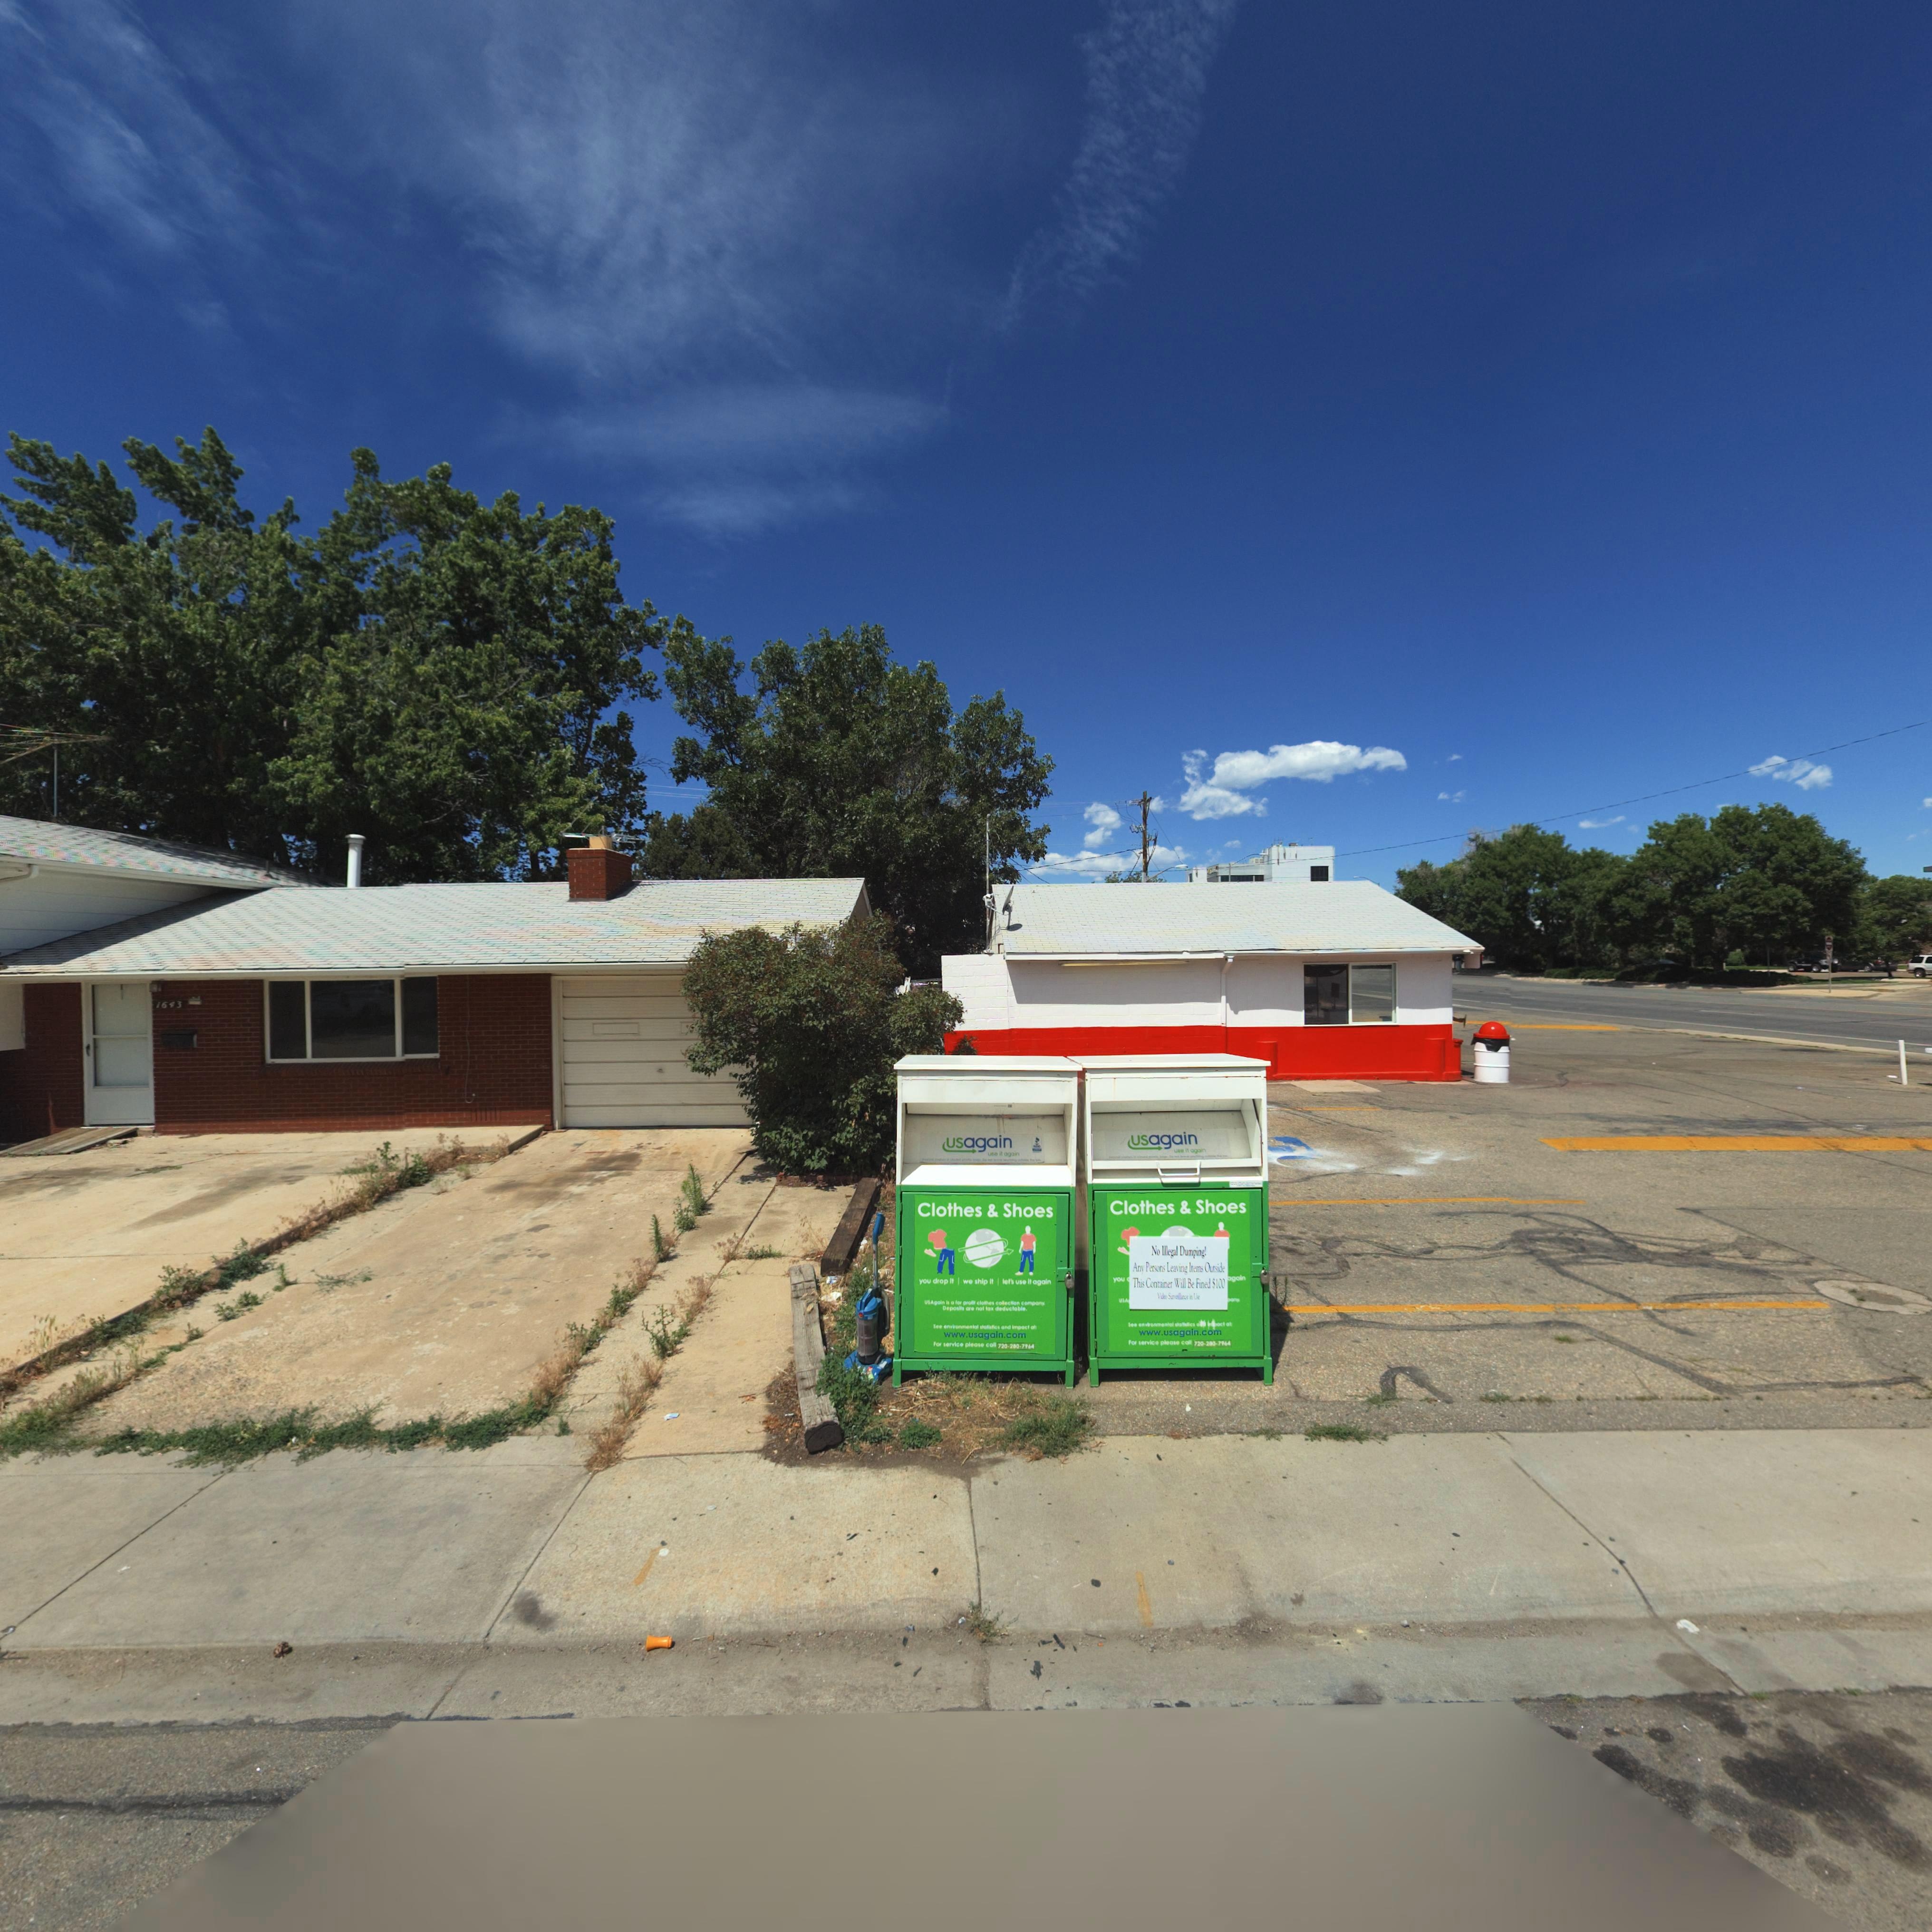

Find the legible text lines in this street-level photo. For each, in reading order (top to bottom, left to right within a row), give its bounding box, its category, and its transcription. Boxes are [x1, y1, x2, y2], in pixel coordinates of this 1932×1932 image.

[155, 1000, 182, 1008] StreetNumber: 1643